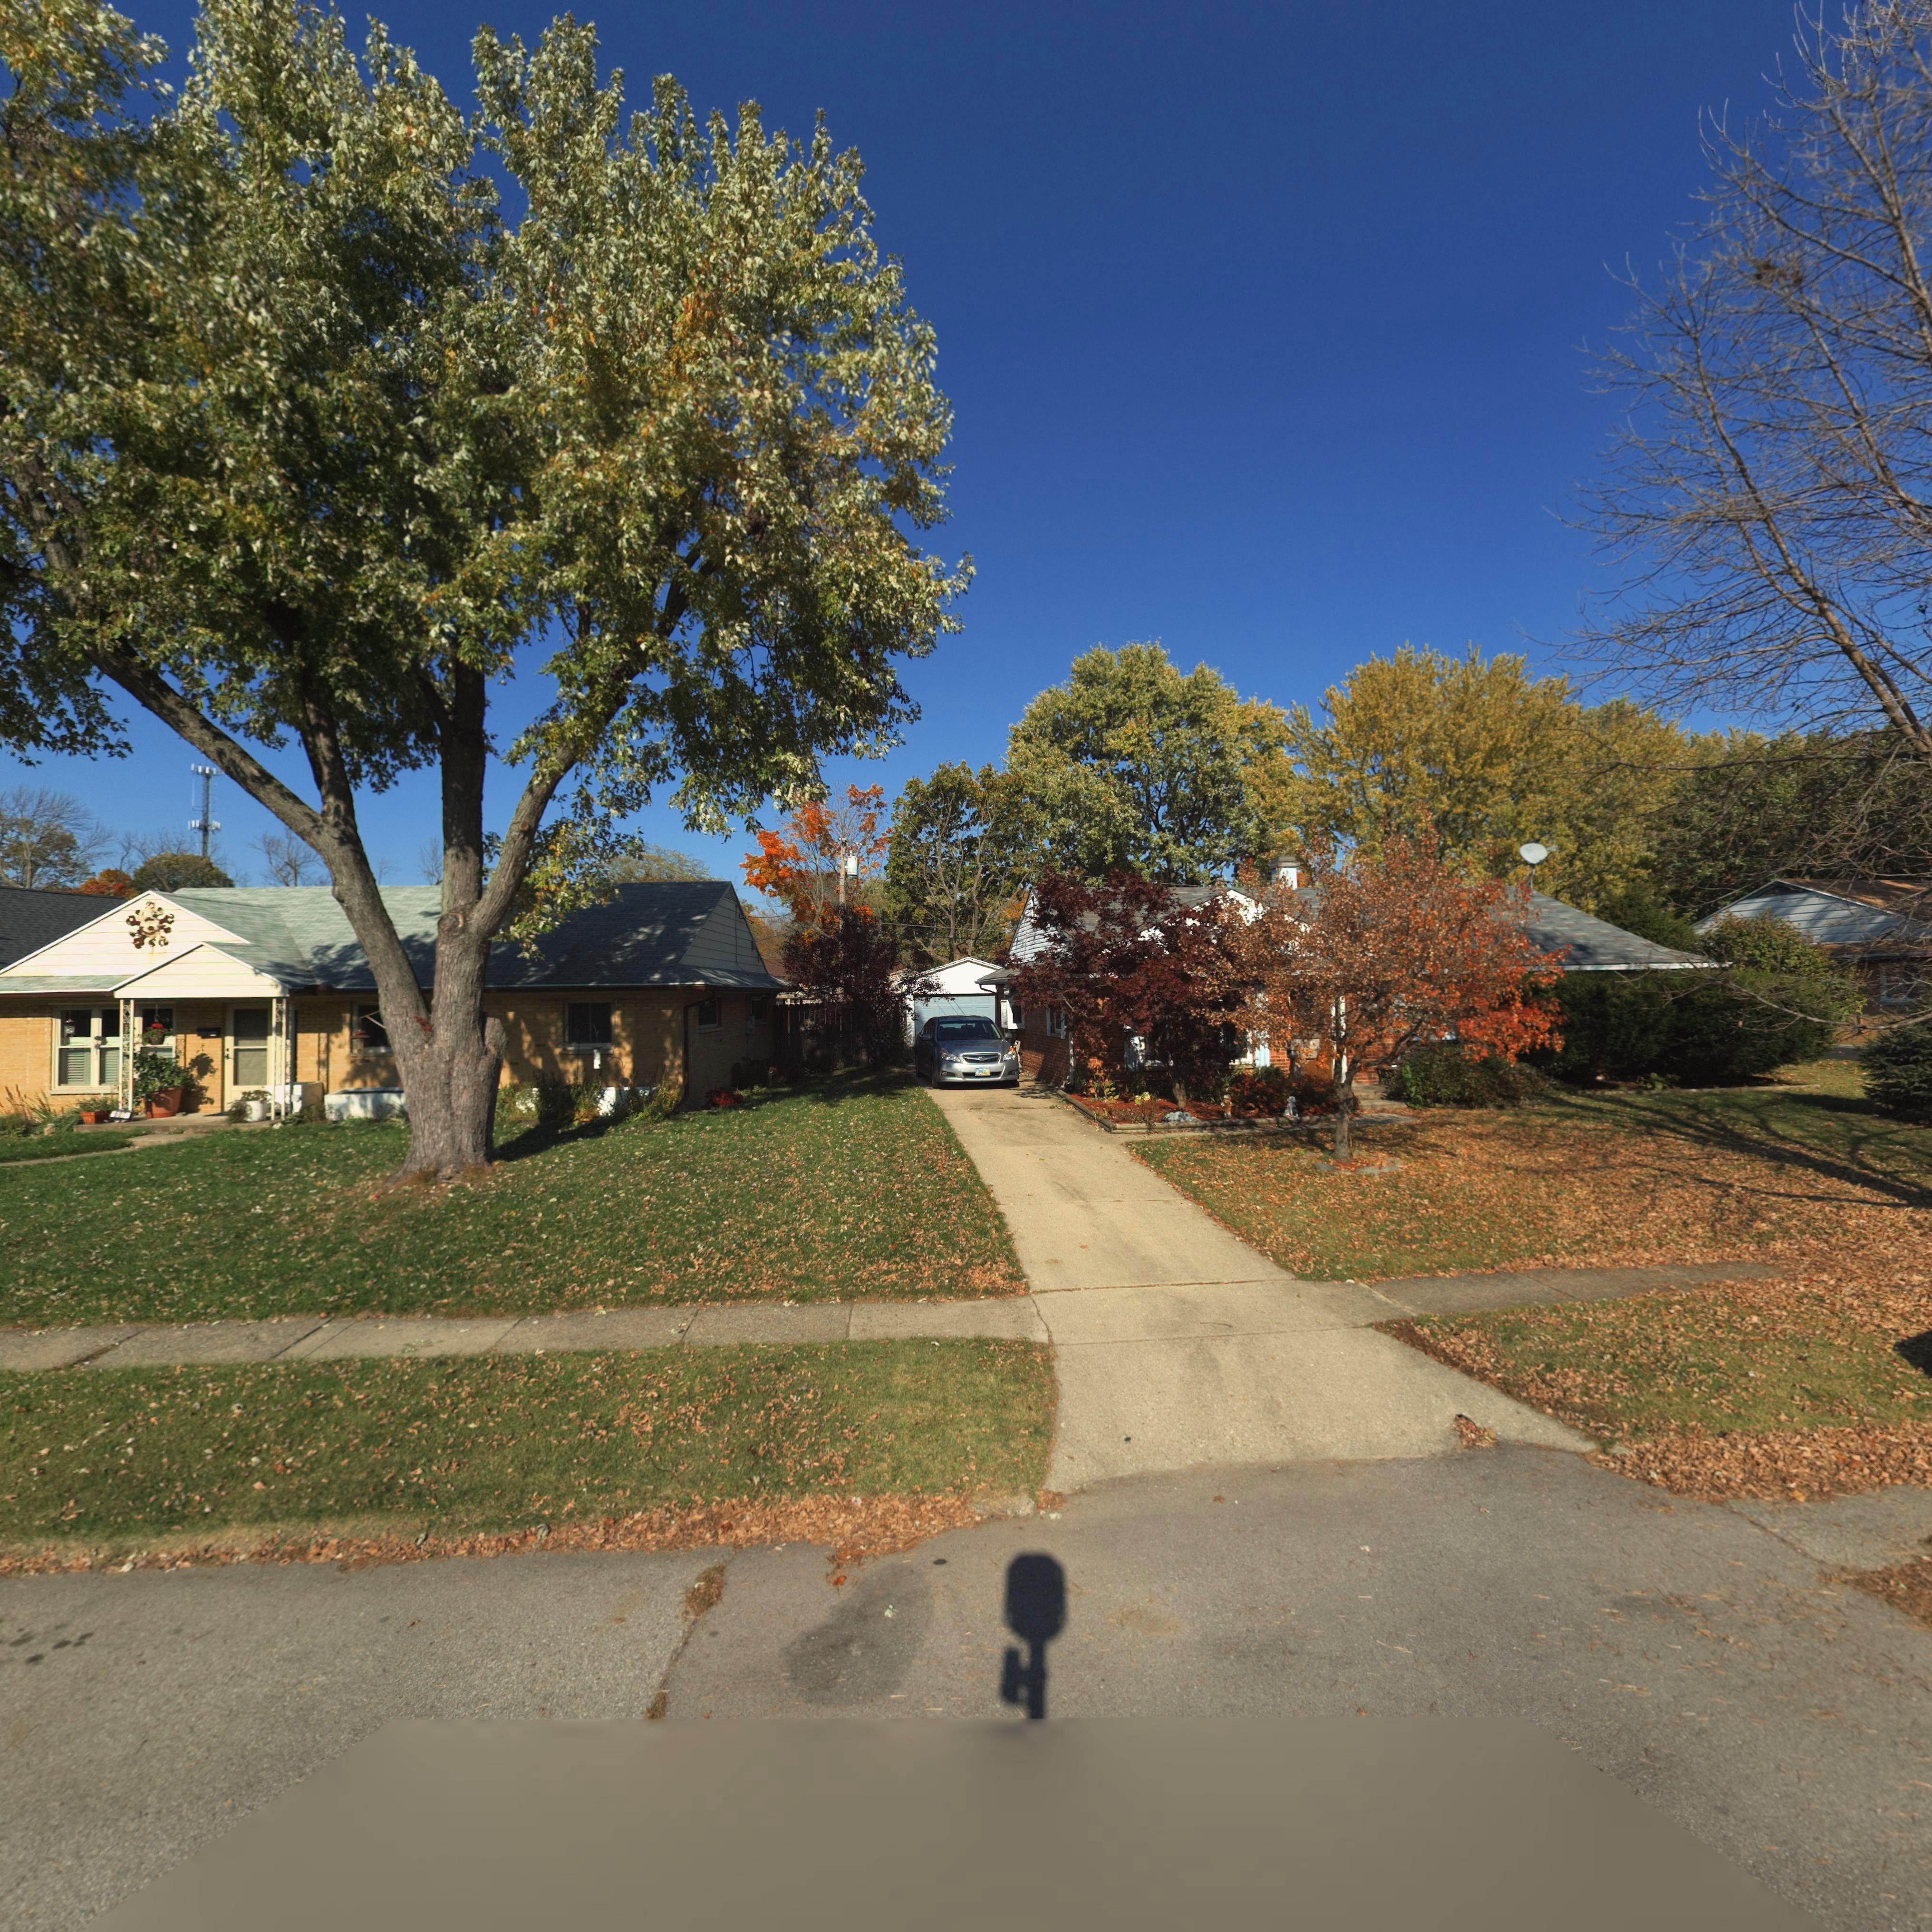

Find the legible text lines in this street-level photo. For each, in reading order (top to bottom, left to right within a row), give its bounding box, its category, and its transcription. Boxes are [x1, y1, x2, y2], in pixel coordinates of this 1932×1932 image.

[113, 1111, 128, 1119] StreetNumber: **7